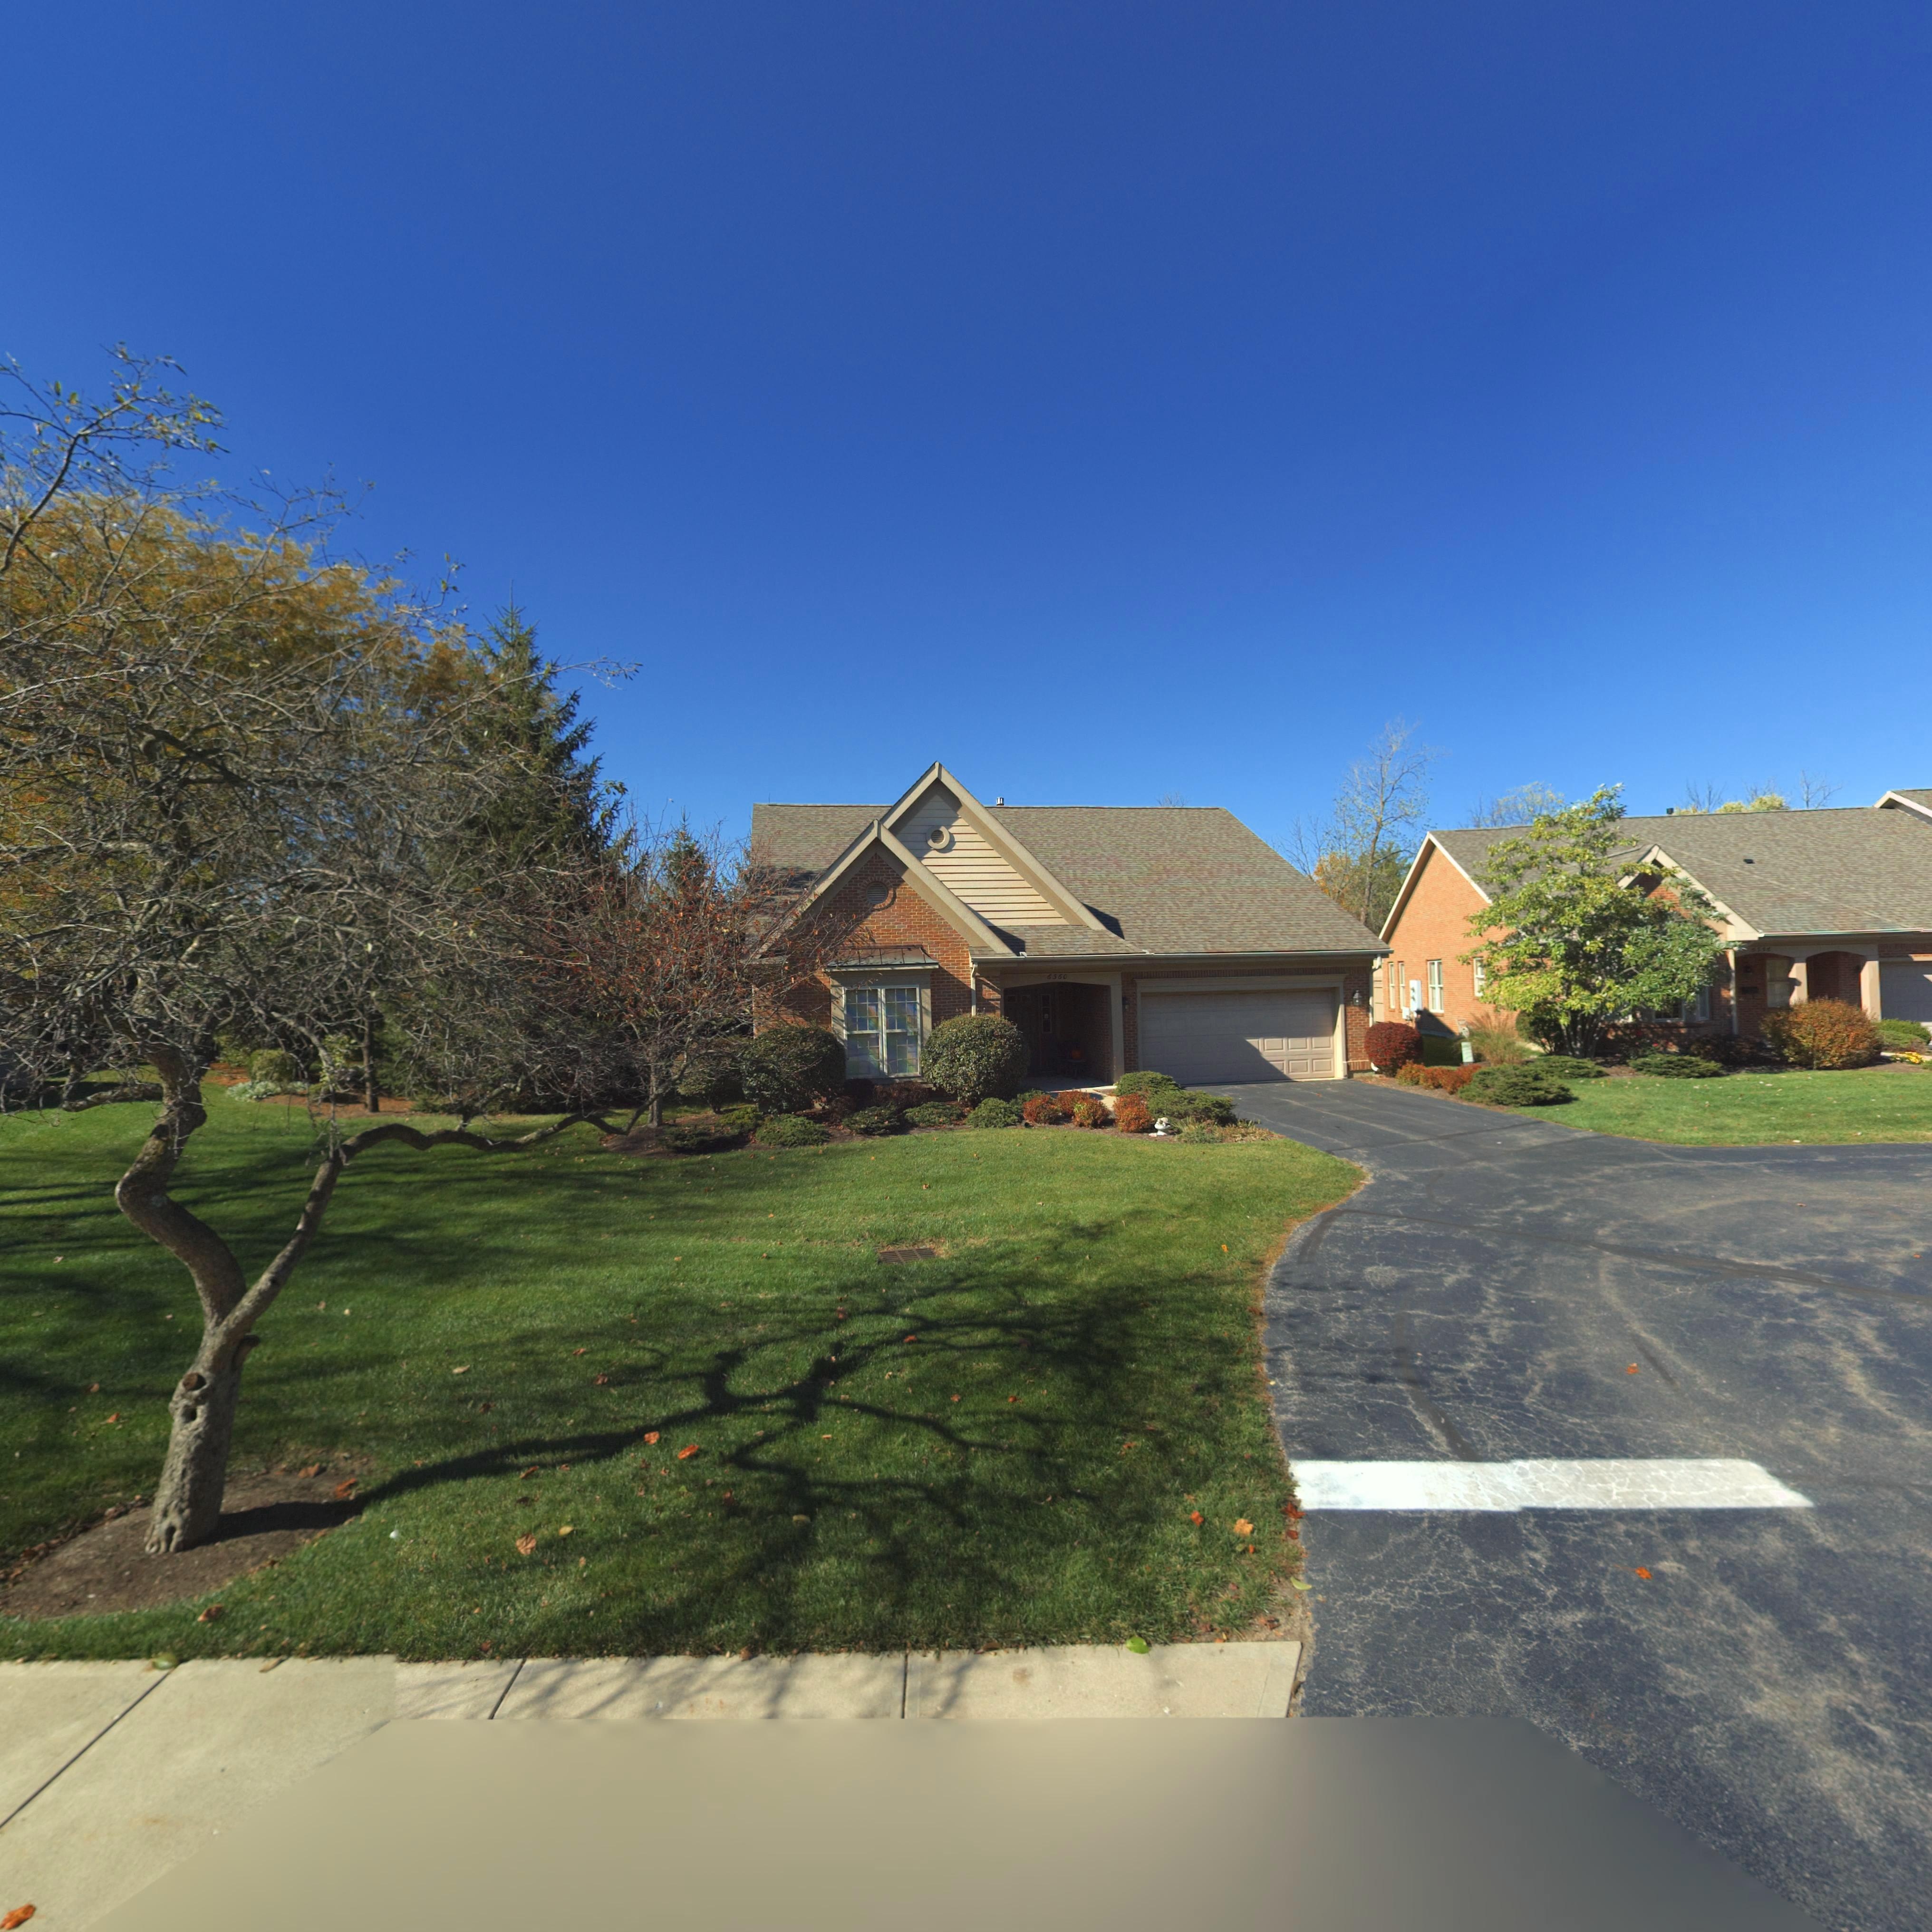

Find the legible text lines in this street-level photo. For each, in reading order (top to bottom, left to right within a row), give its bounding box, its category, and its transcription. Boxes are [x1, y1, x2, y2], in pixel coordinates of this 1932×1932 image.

[1046, 973, 1068, 981] StreetNumber: 6*60